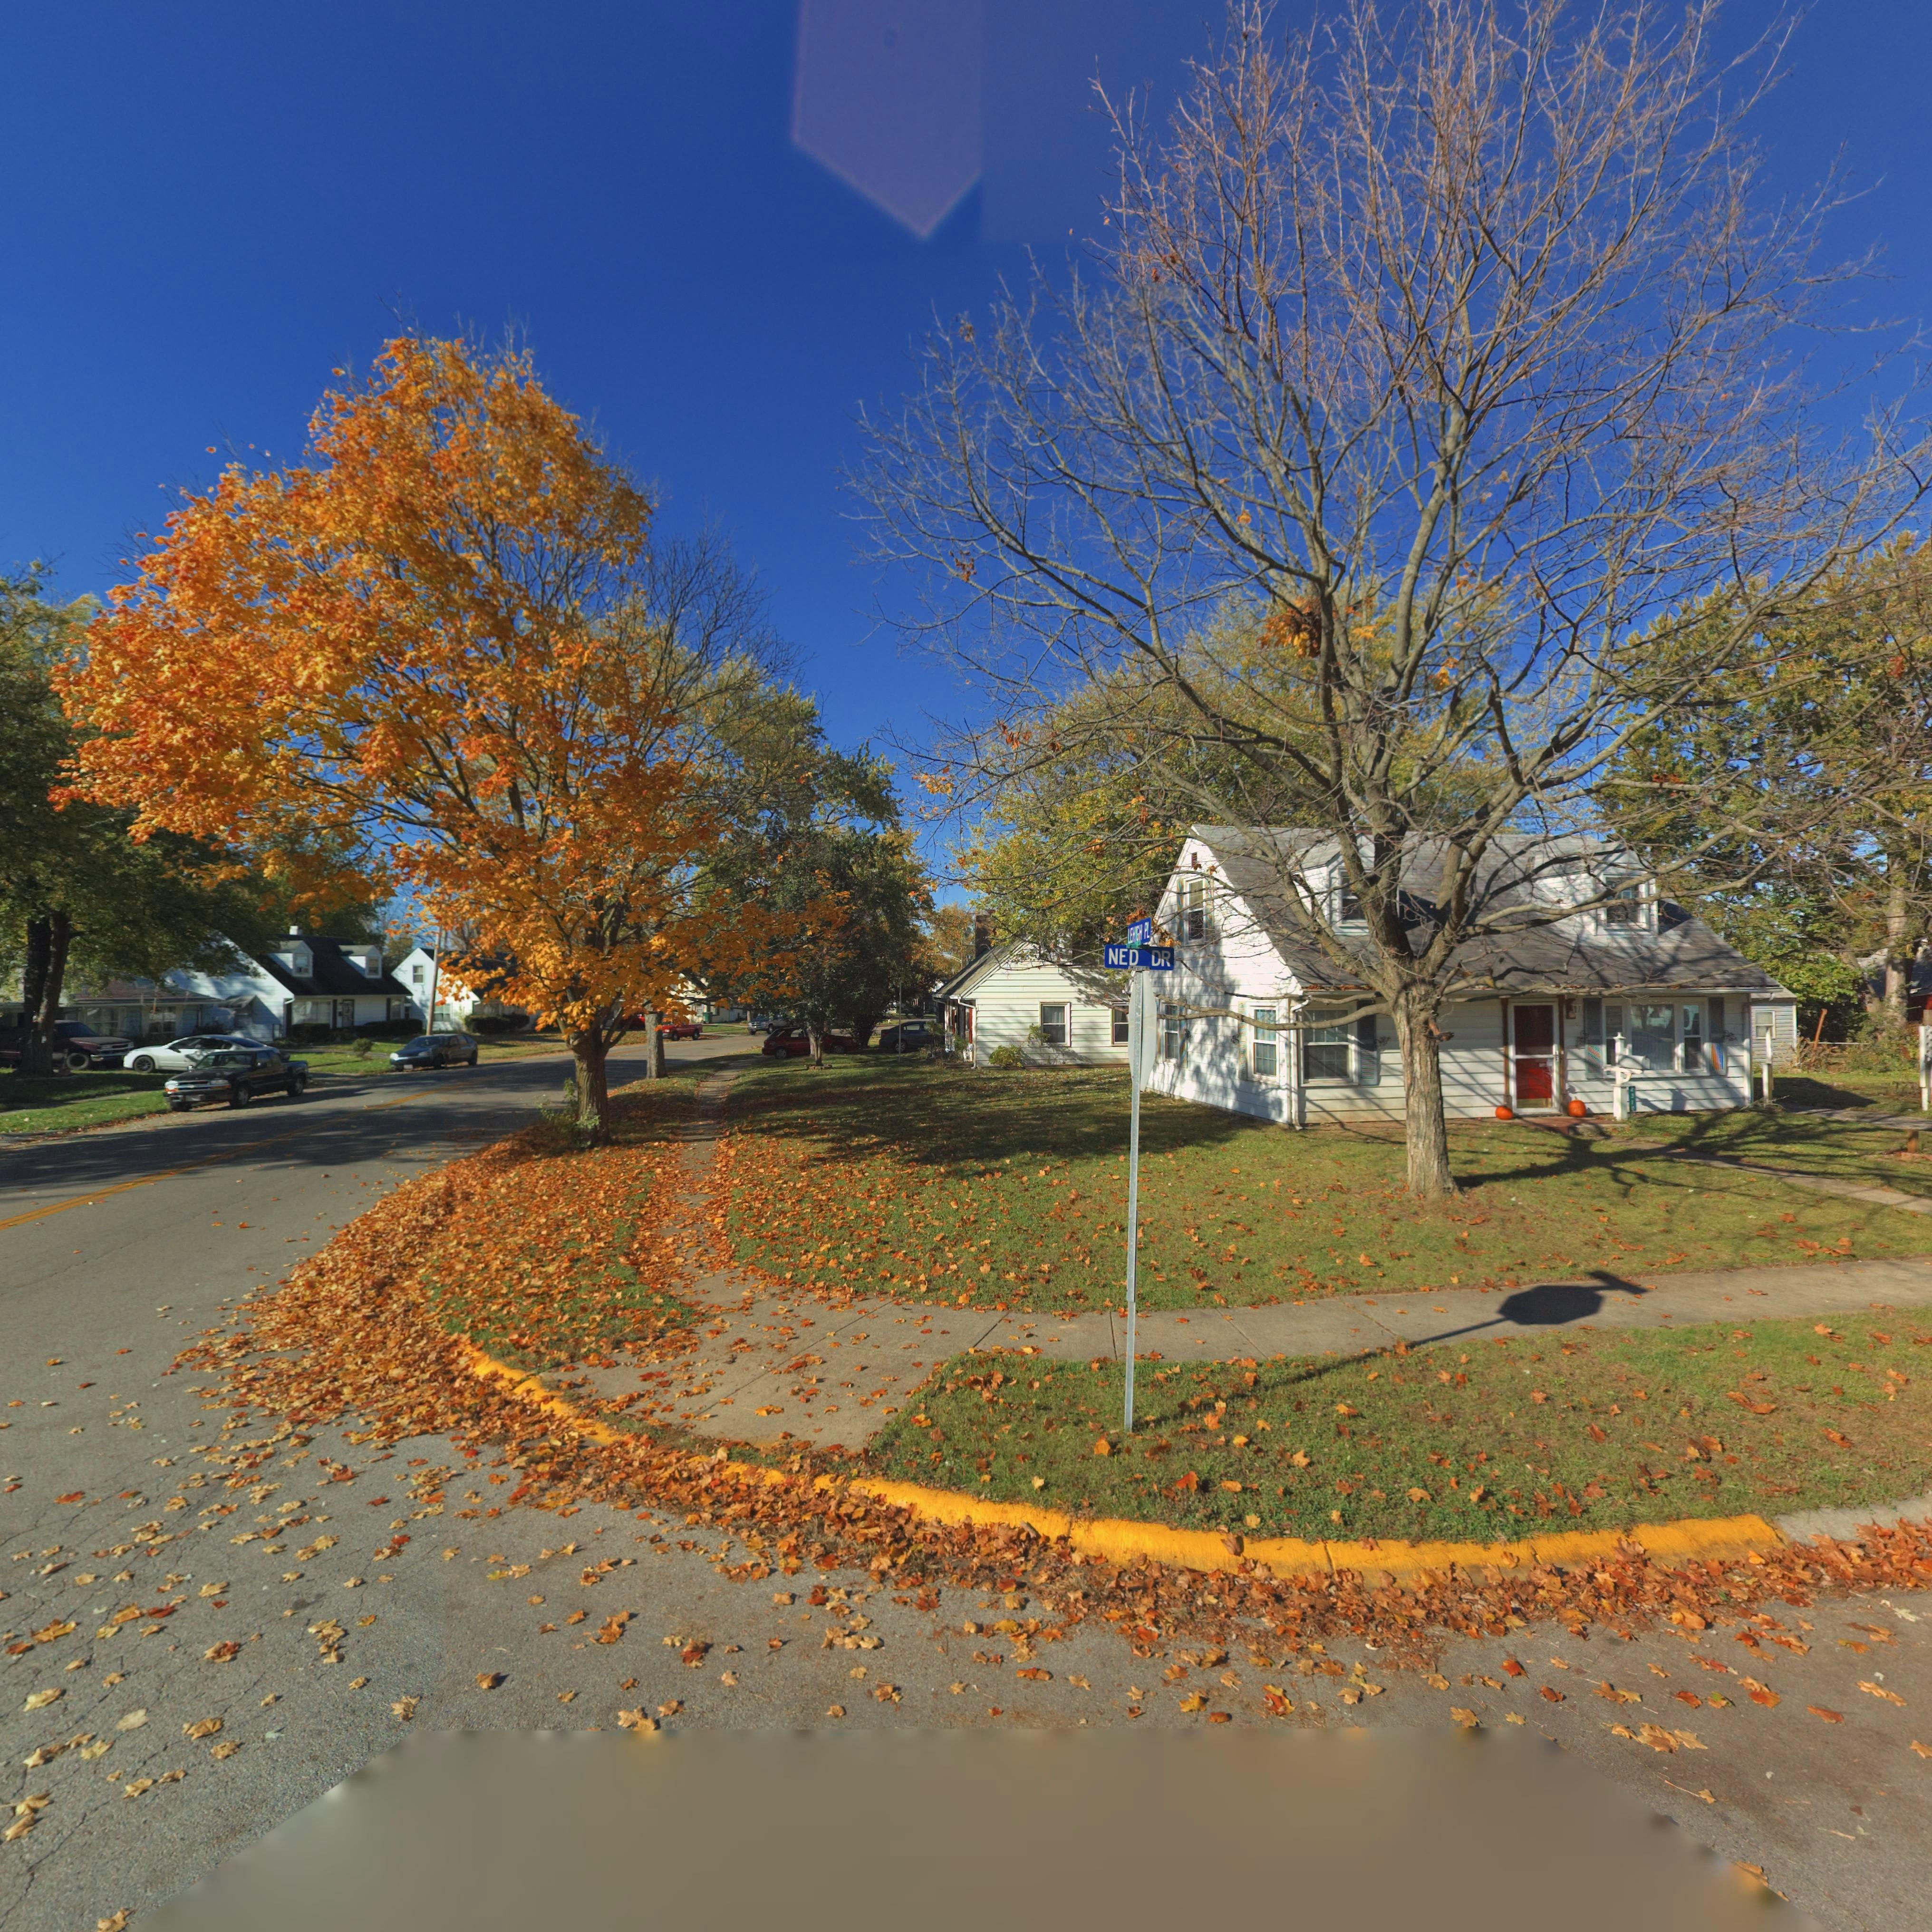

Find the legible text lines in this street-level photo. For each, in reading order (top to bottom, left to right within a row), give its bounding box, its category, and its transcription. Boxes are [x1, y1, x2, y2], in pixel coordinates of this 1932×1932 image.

[1629, 1086, 1636, 1112] StreetNumber: *31*